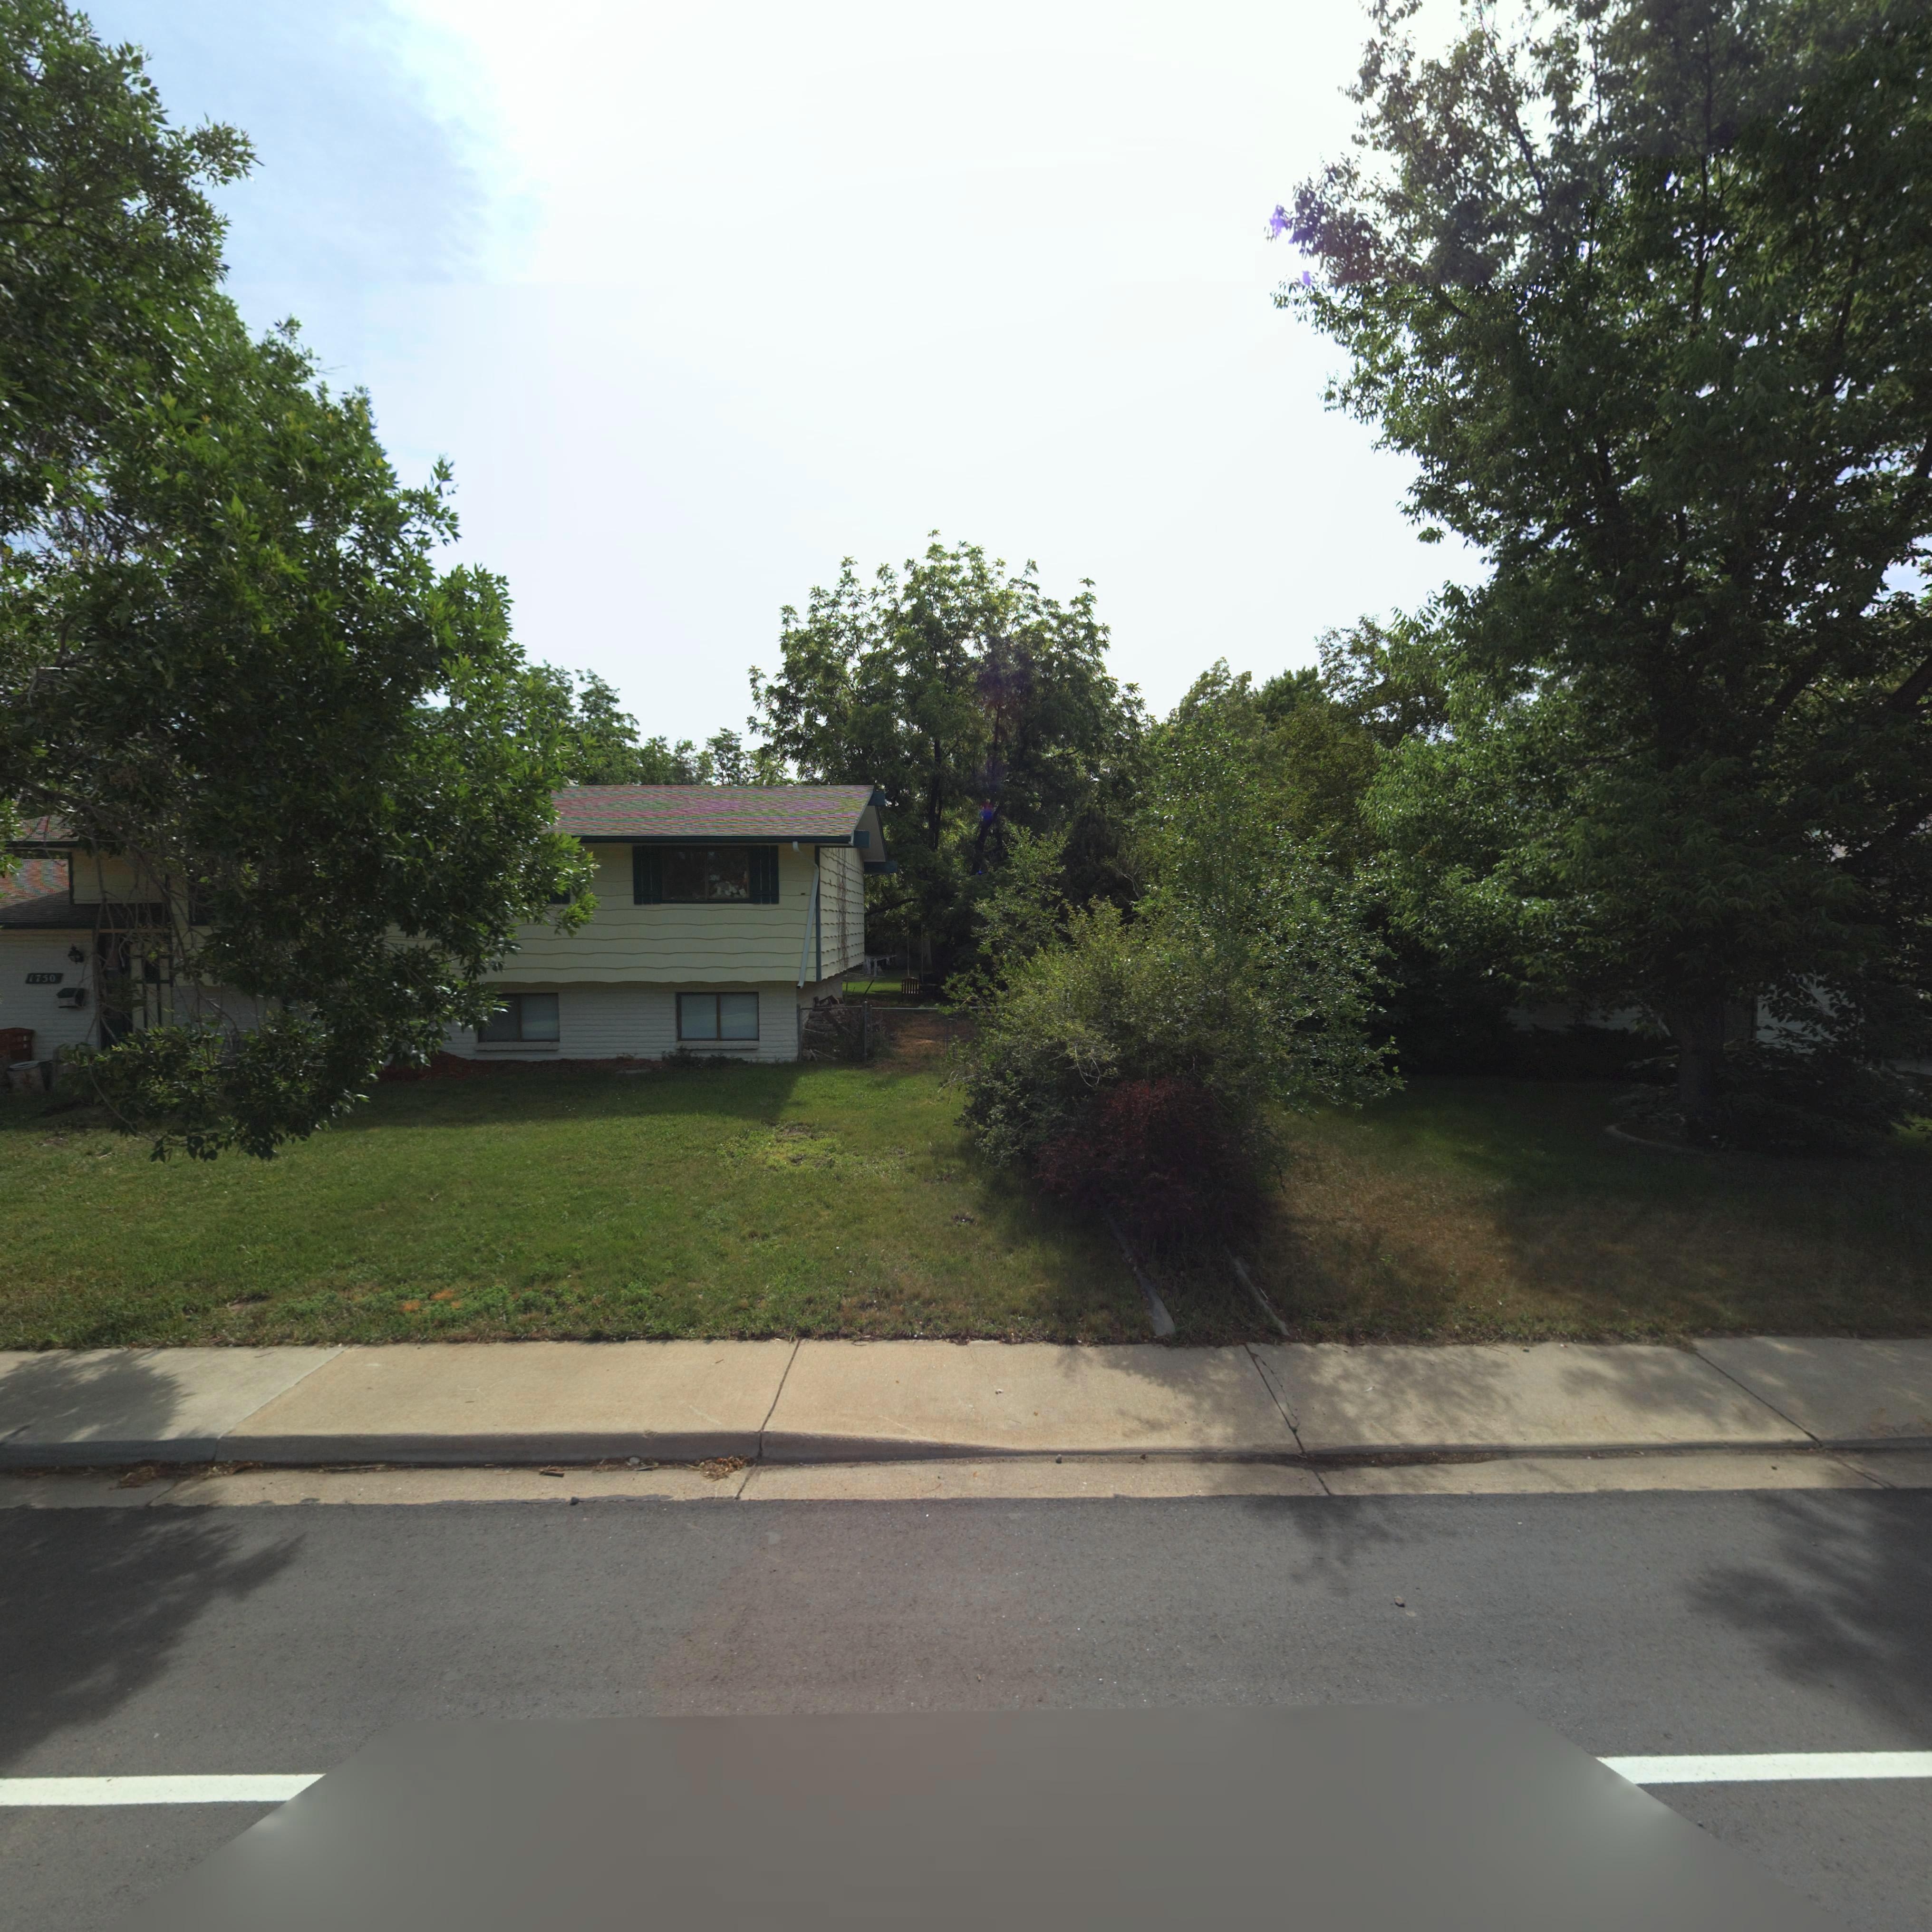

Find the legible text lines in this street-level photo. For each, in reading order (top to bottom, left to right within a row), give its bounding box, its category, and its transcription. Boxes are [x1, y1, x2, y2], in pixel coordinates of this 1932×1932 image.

[28, 974, 56, 983] StreetNumber: 1750